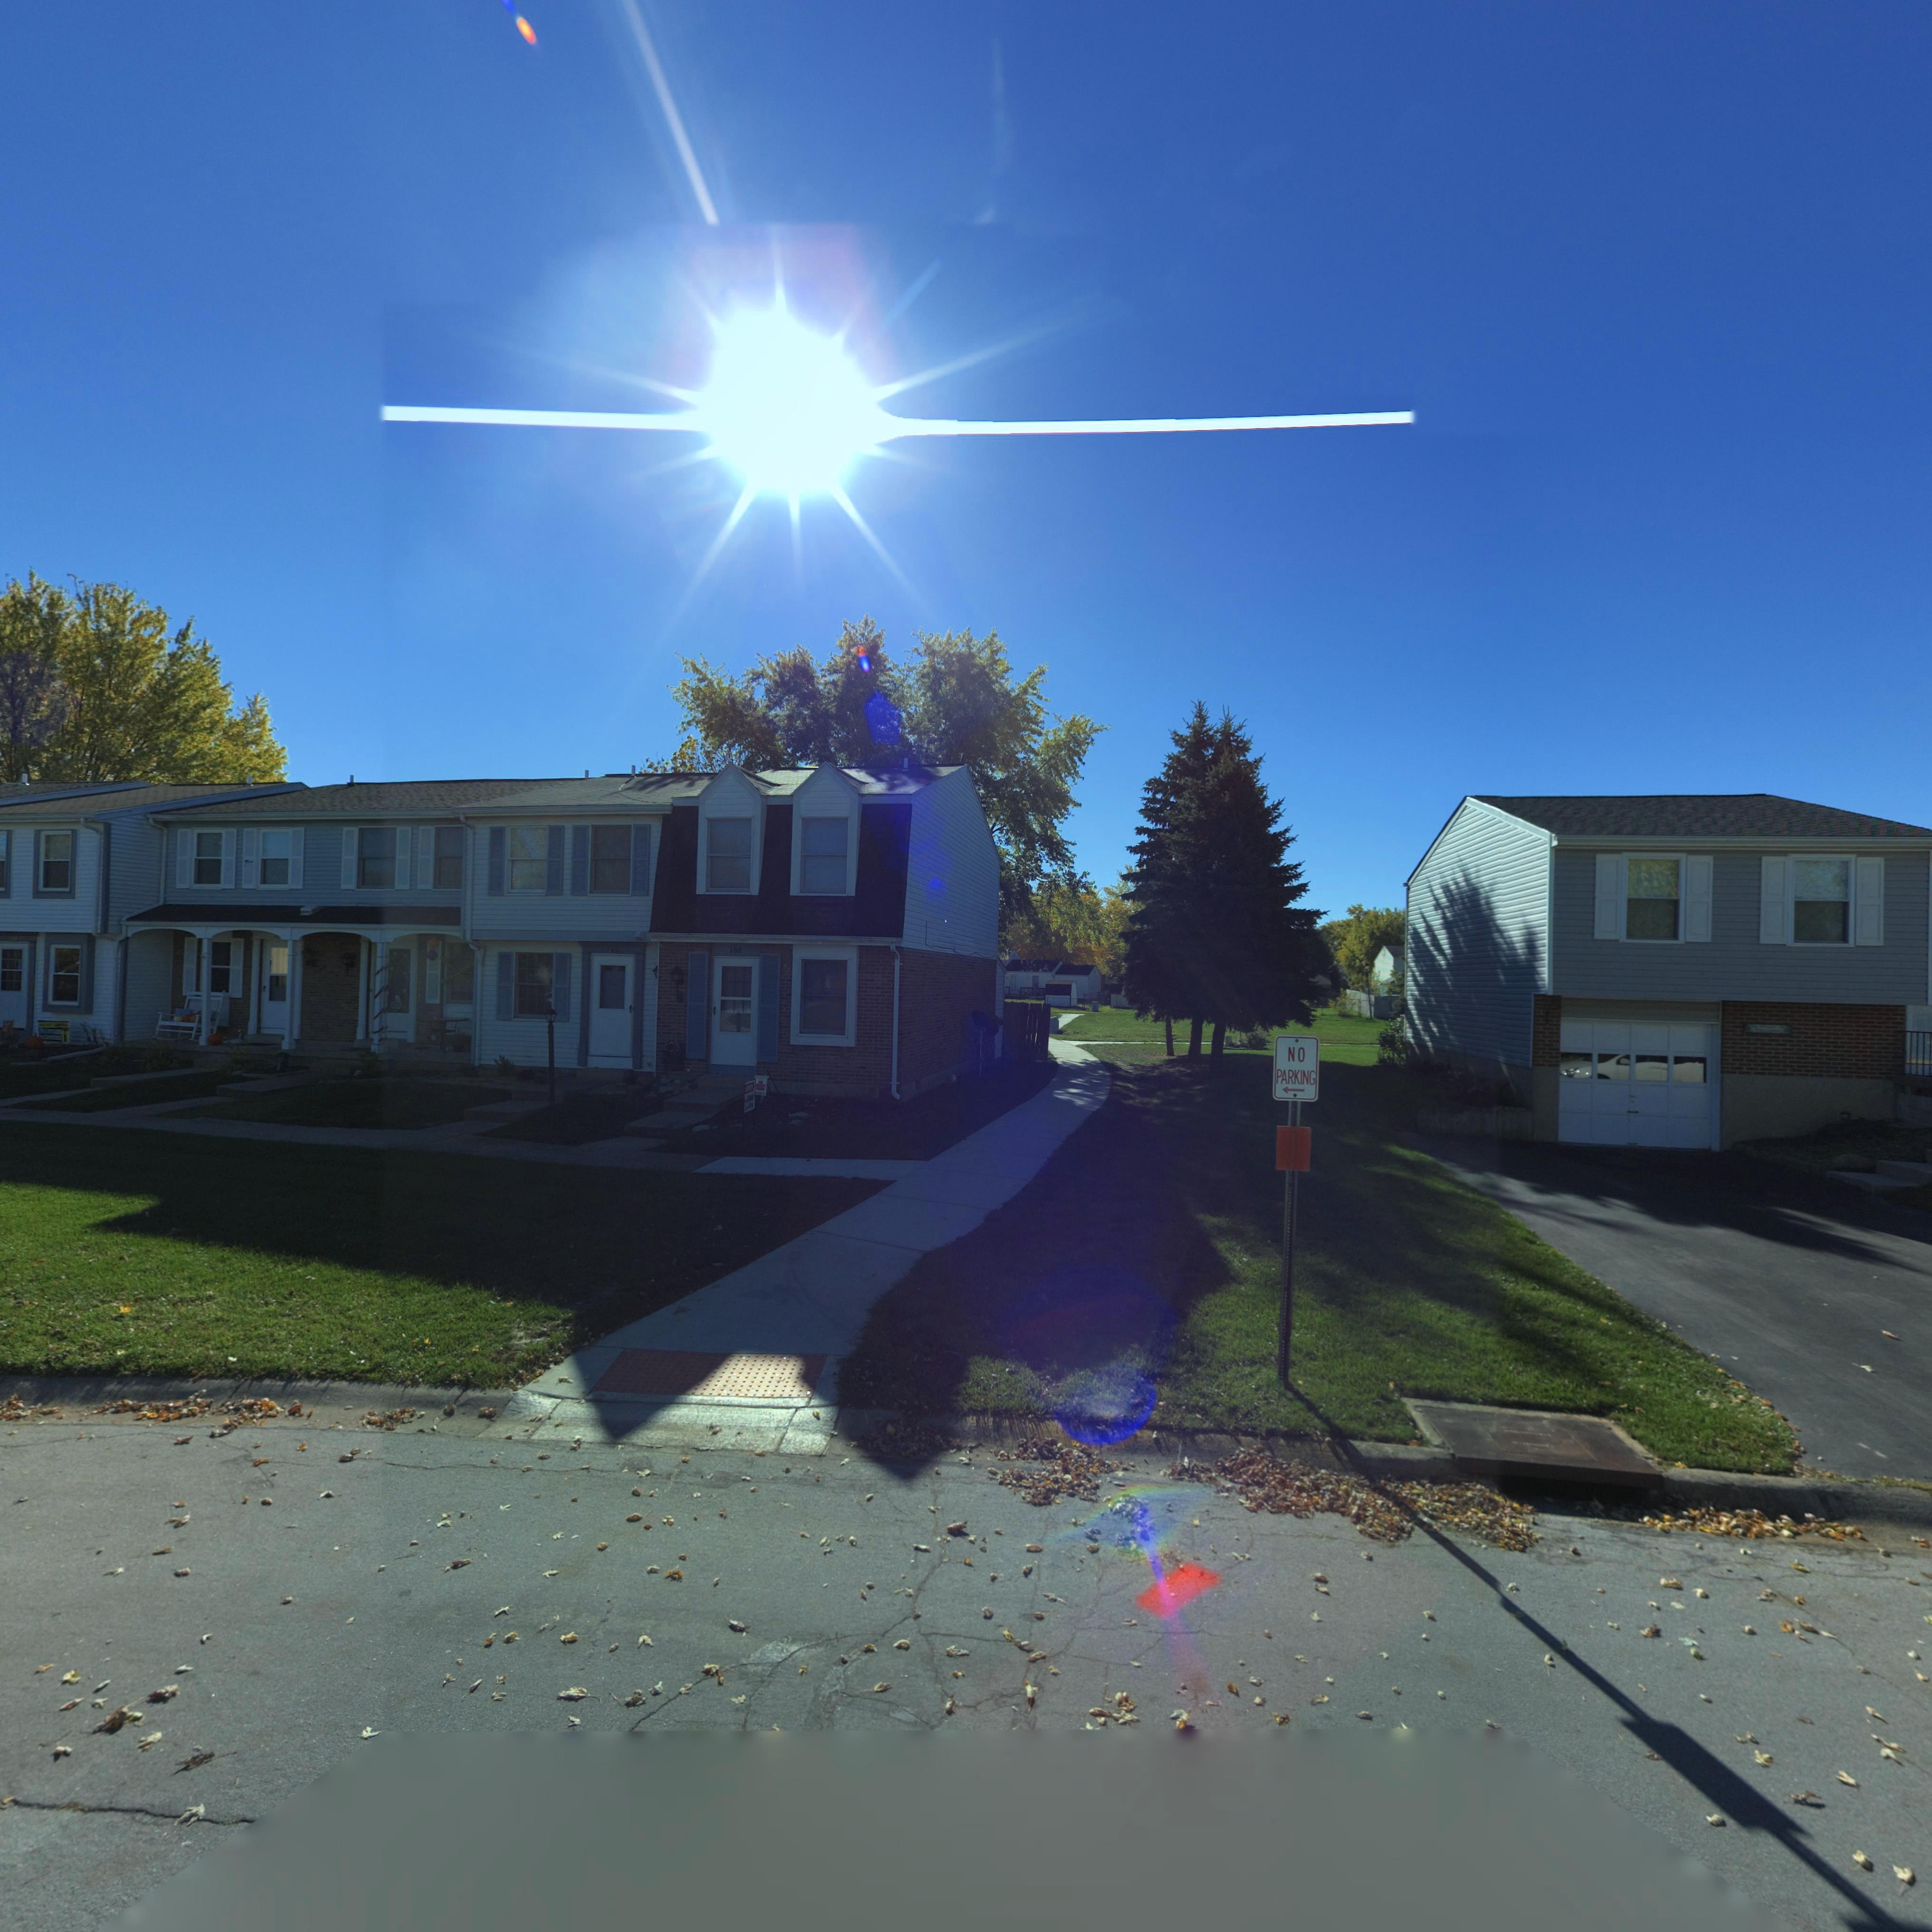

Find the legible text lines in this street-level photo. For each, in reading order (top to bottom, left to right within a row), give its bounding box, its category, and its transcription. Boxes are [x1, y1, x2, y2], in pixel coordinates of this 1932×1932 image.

[729, 947, 743, 954] StreetNumber: 100